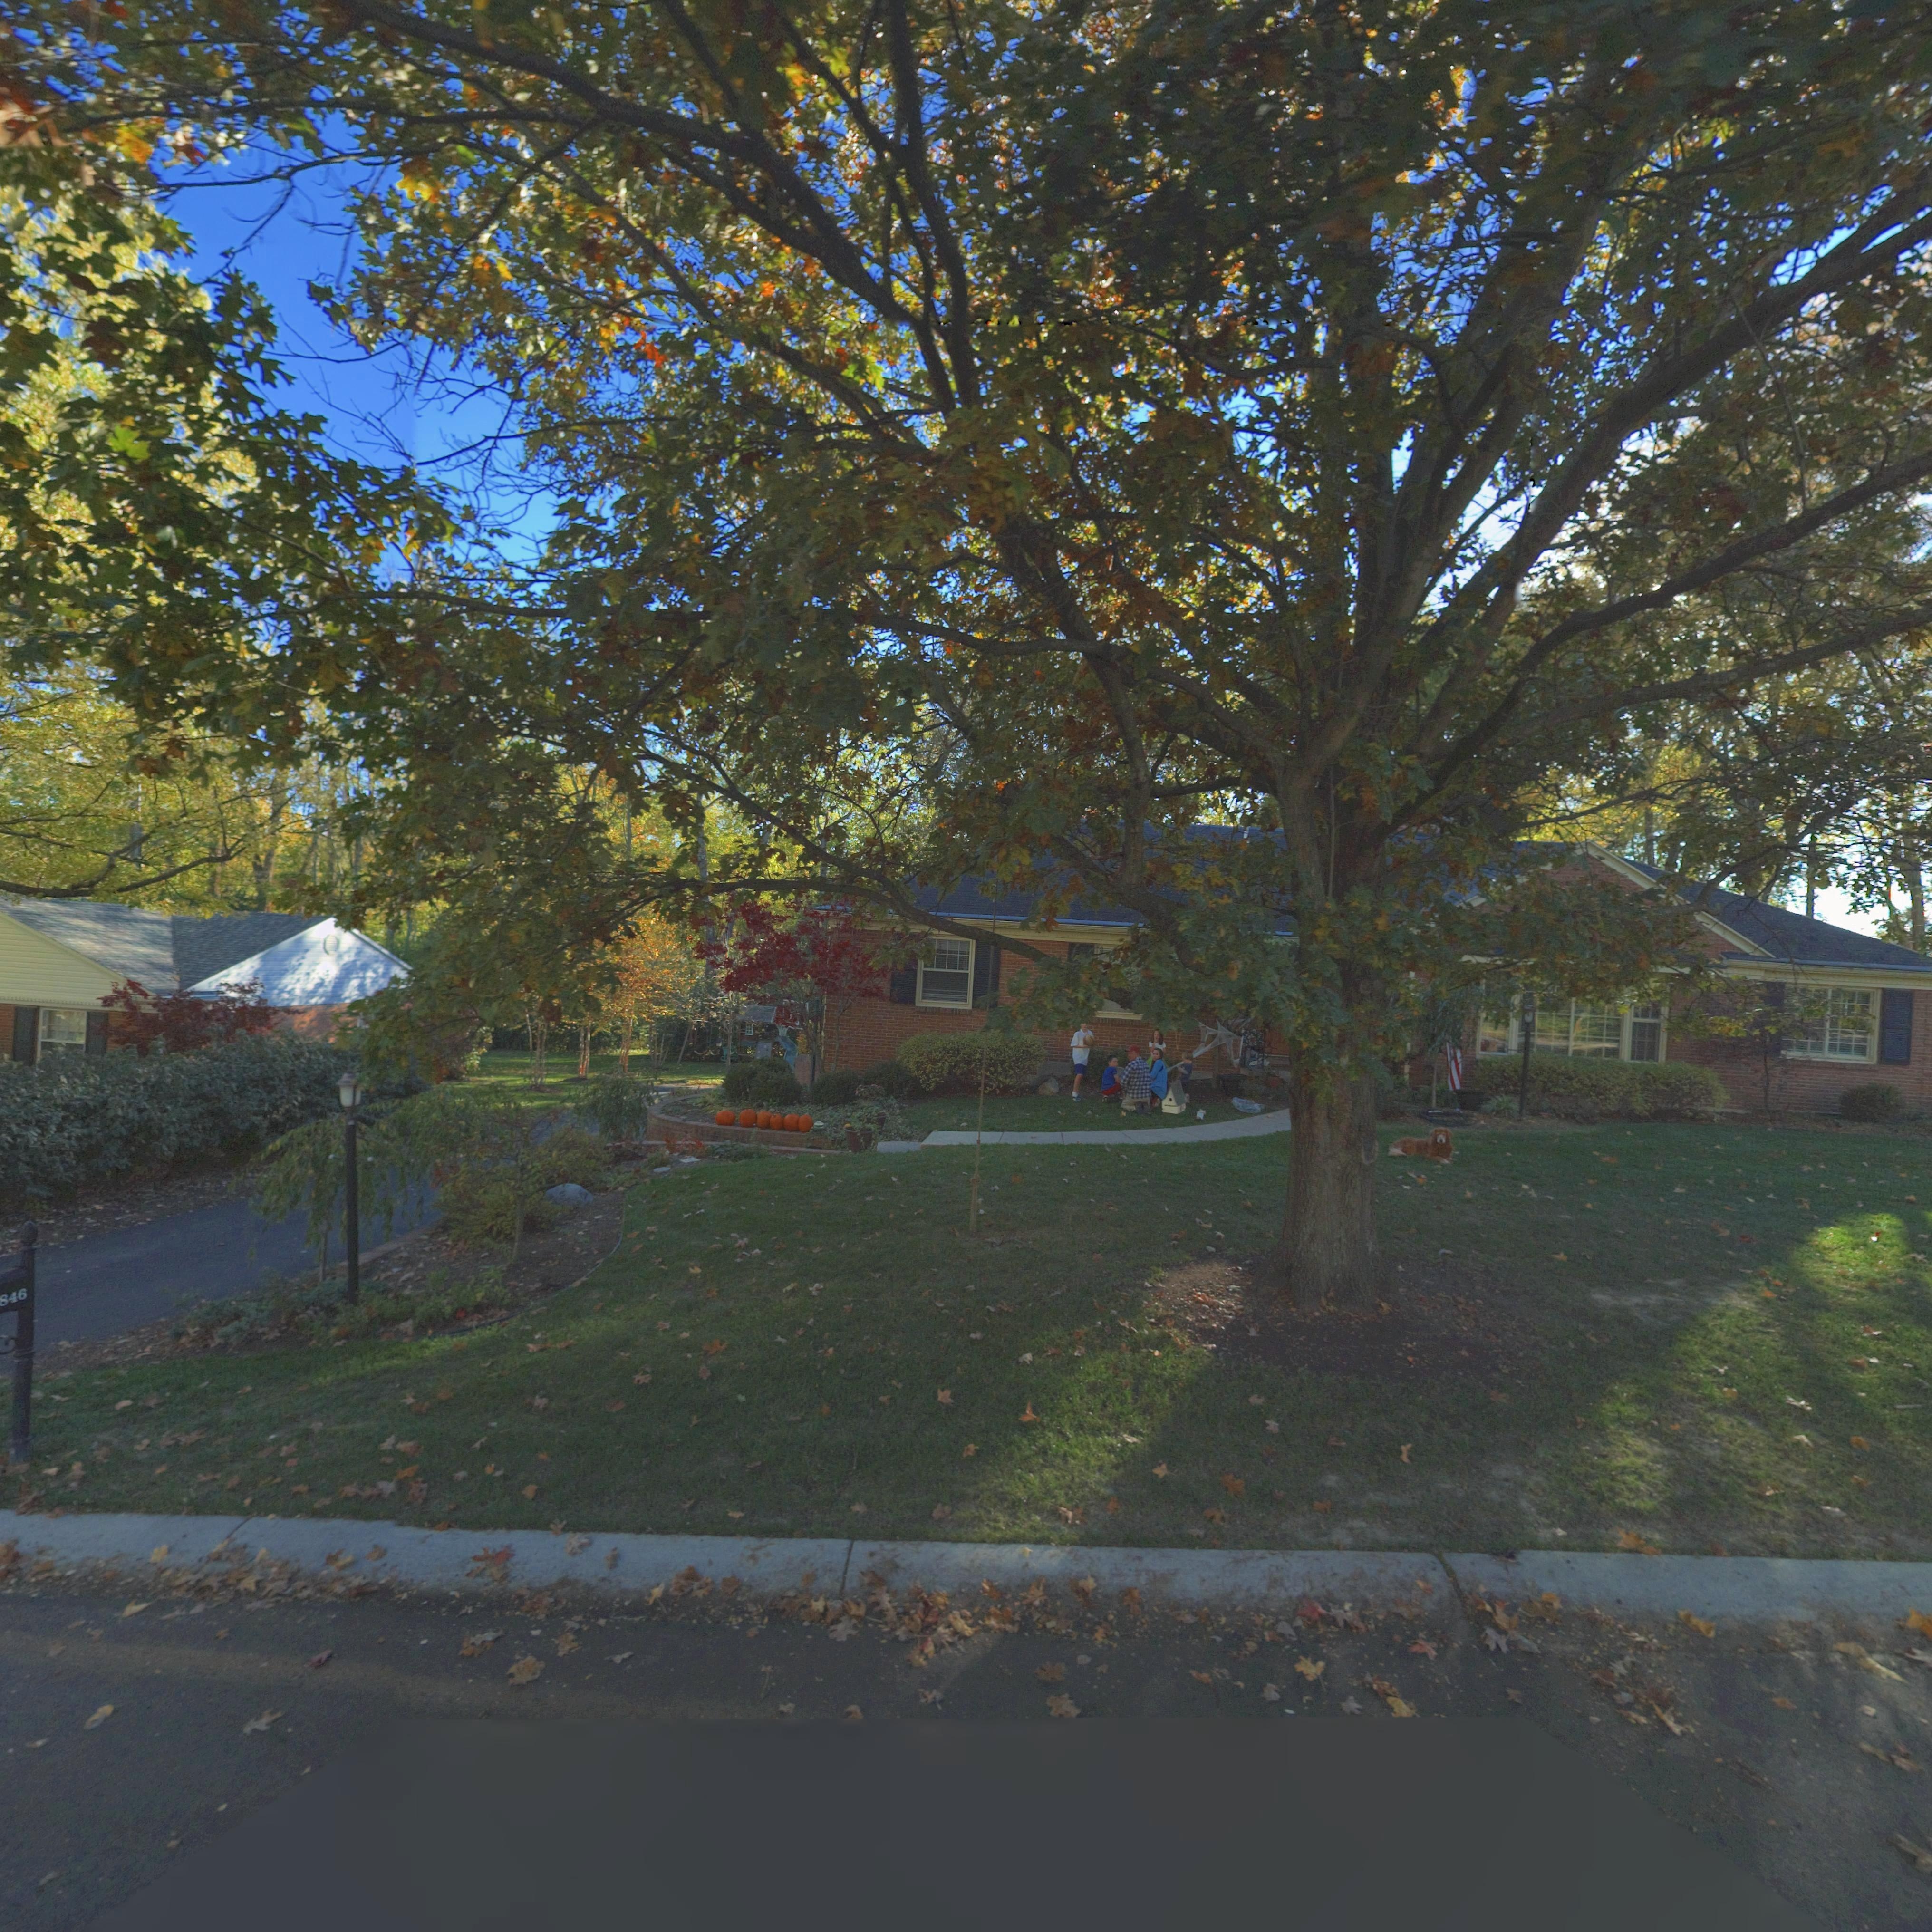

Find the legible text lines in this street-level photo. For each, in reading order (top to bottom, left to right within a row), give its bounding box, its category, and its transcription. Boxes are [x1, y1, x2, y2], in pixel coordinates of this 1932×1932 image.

[0, 1286, 28, 1308] StreetNumber: 846